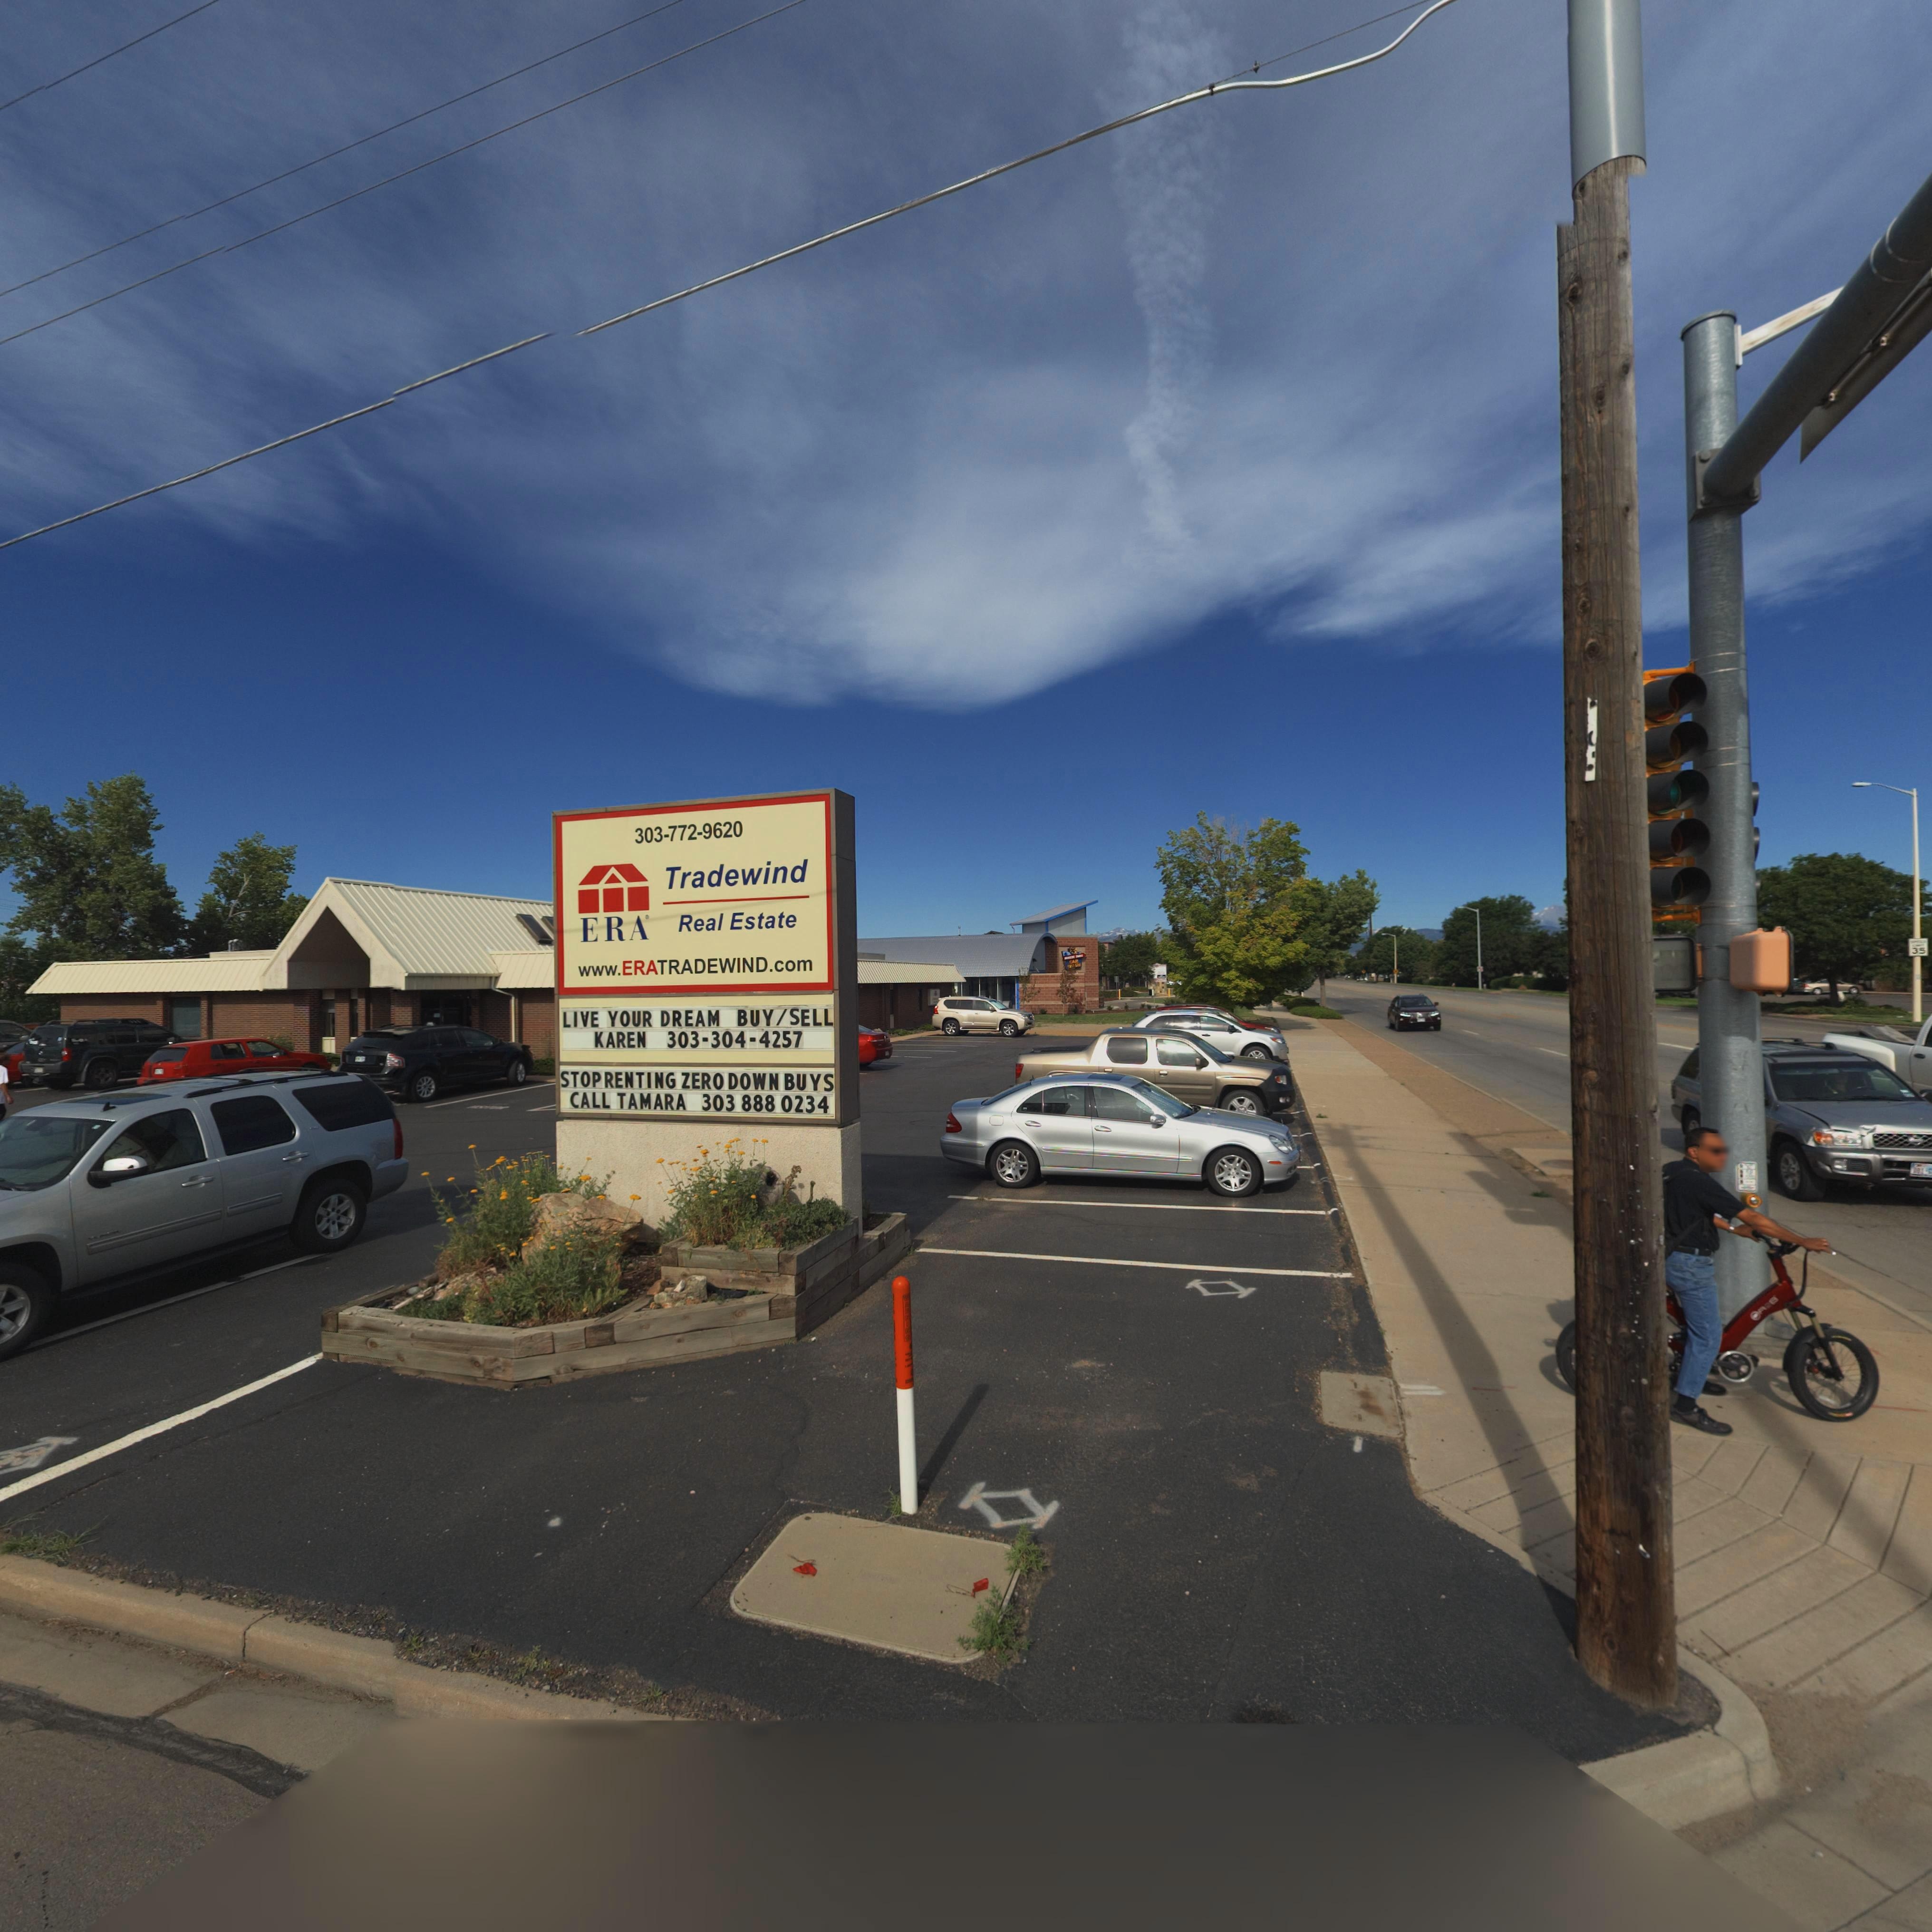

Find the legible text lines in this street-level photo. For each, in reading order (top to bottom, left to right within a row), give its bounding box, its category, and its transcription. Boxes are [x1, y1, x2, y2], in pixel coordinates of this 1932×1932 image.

[664, 858, 810, 890] BusinessName: Tradewind
[580, 913, 650, 944] BusinessName: ERA
[676, 909, 798, 933] BusinessName: Real Estate
[1069, 958, 1079, 964] BusinessName: CAR
[1074, 962, 1081, 967] BusinessName: SH